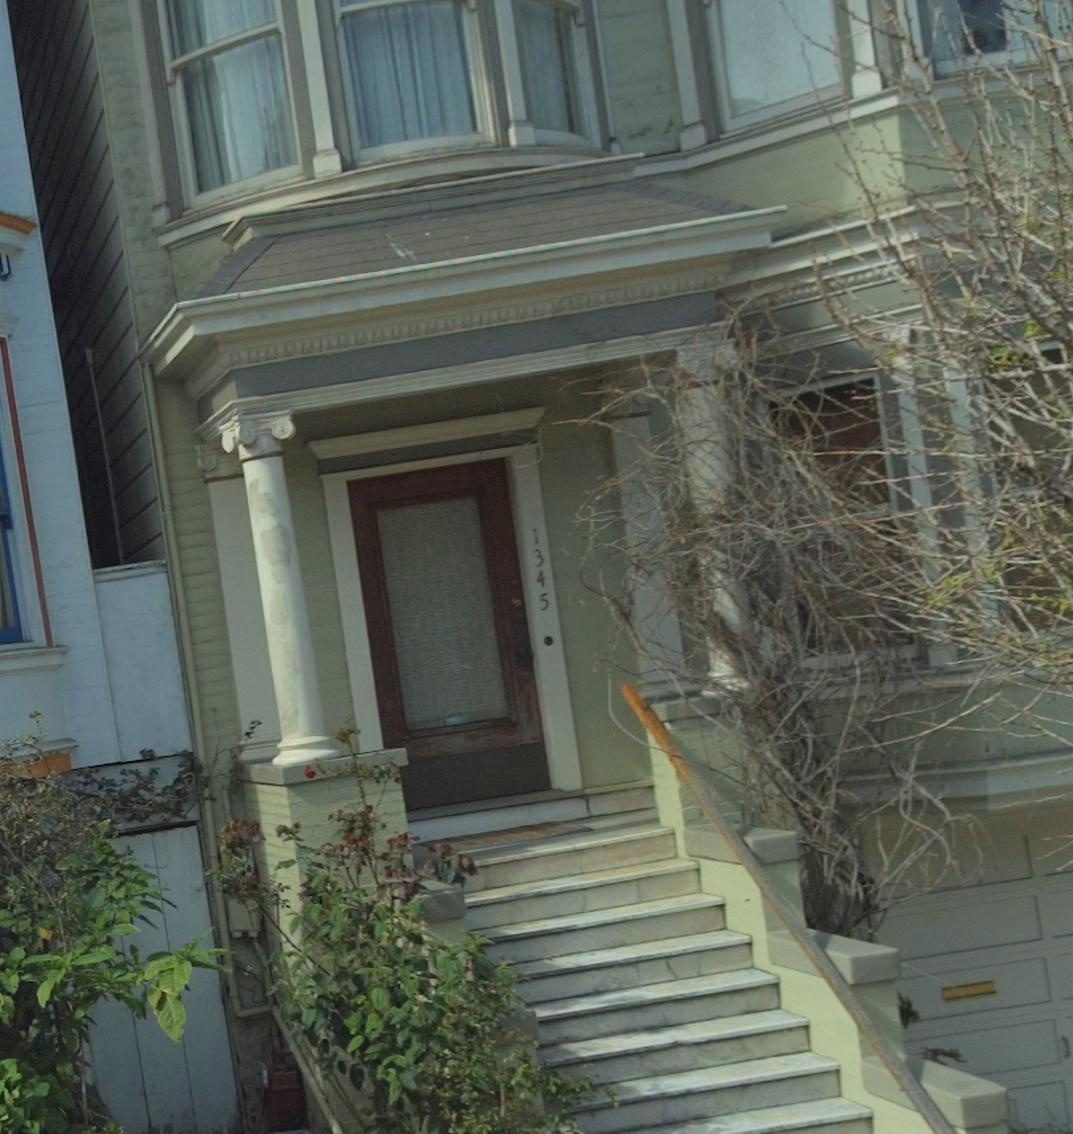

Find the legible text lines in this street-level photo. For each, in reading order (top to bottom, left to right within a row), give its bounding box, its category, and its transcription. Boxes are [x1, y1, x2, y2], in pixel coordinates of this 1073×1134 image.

[526, 524, 553, 616] StreetNumber: 1345